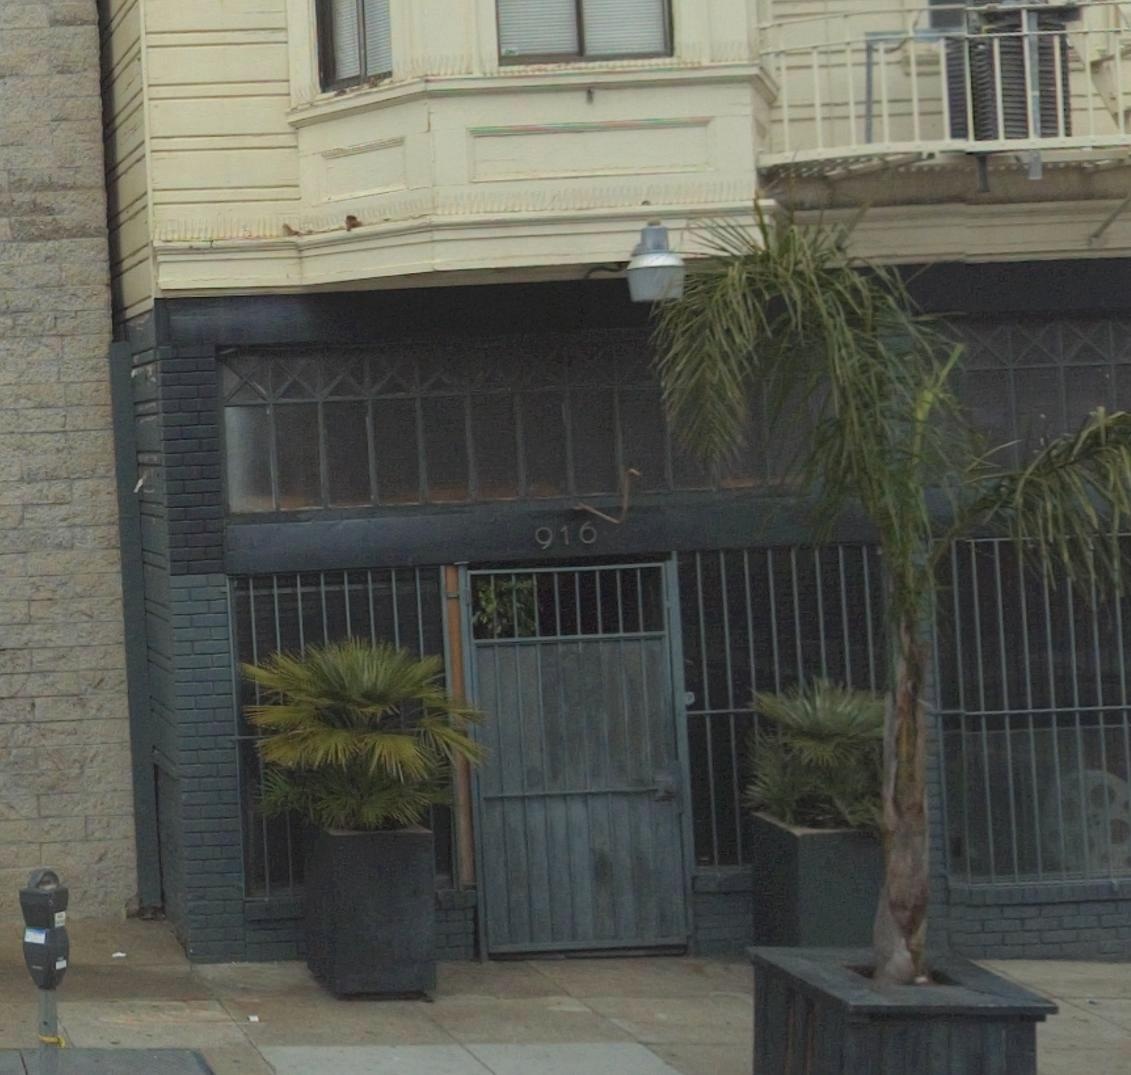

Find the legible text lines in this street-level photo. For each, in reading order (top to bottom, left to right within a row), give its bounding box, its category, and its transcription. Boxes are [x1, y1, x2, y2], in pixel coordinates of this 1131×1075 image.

[532, 520, 599, 551] StreetNumber: 916